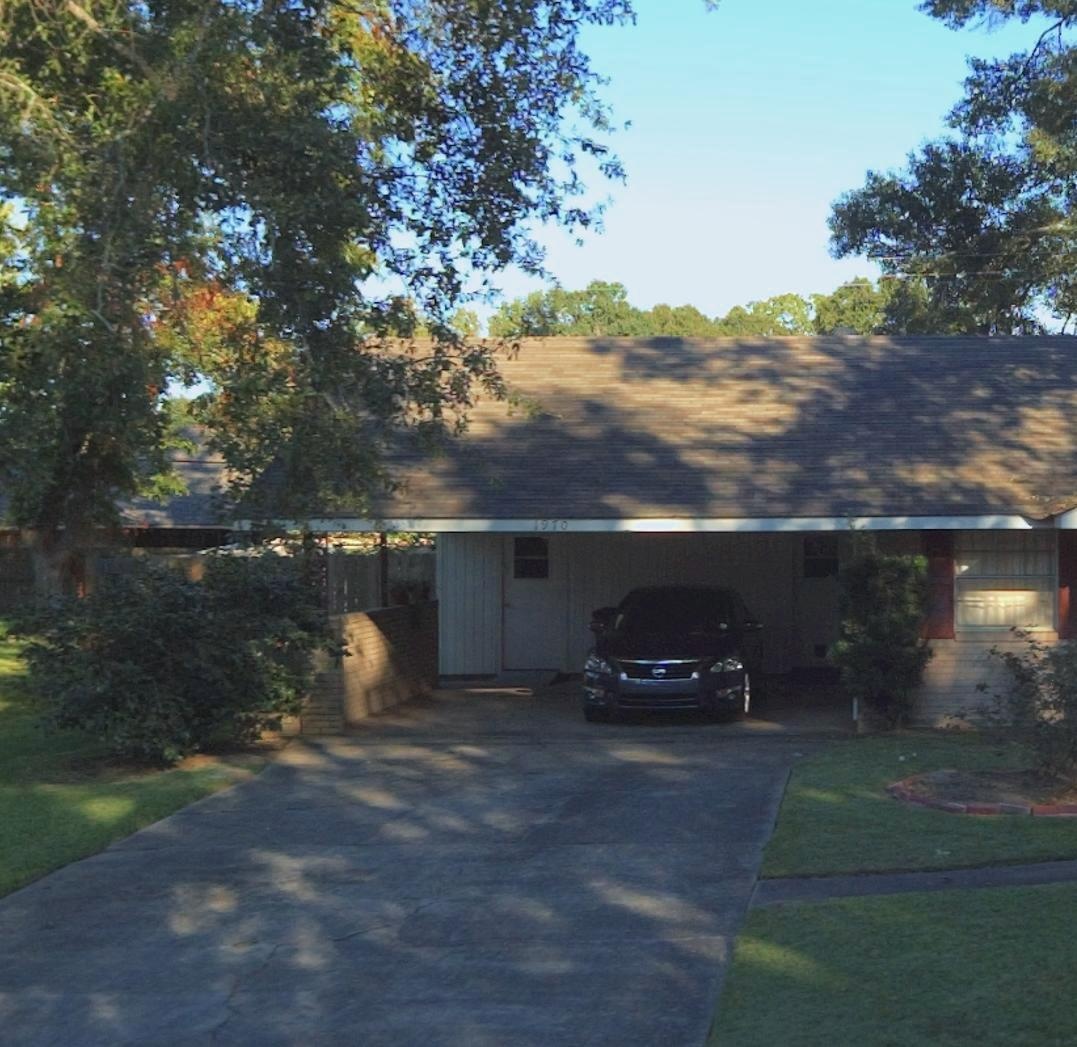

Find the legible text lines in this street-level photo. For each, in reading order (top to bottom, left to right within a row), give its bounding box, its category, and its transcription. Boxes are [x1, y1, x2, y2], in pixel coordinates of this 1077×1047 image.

[533, 519, 568, 532] StreetNumber: 1970